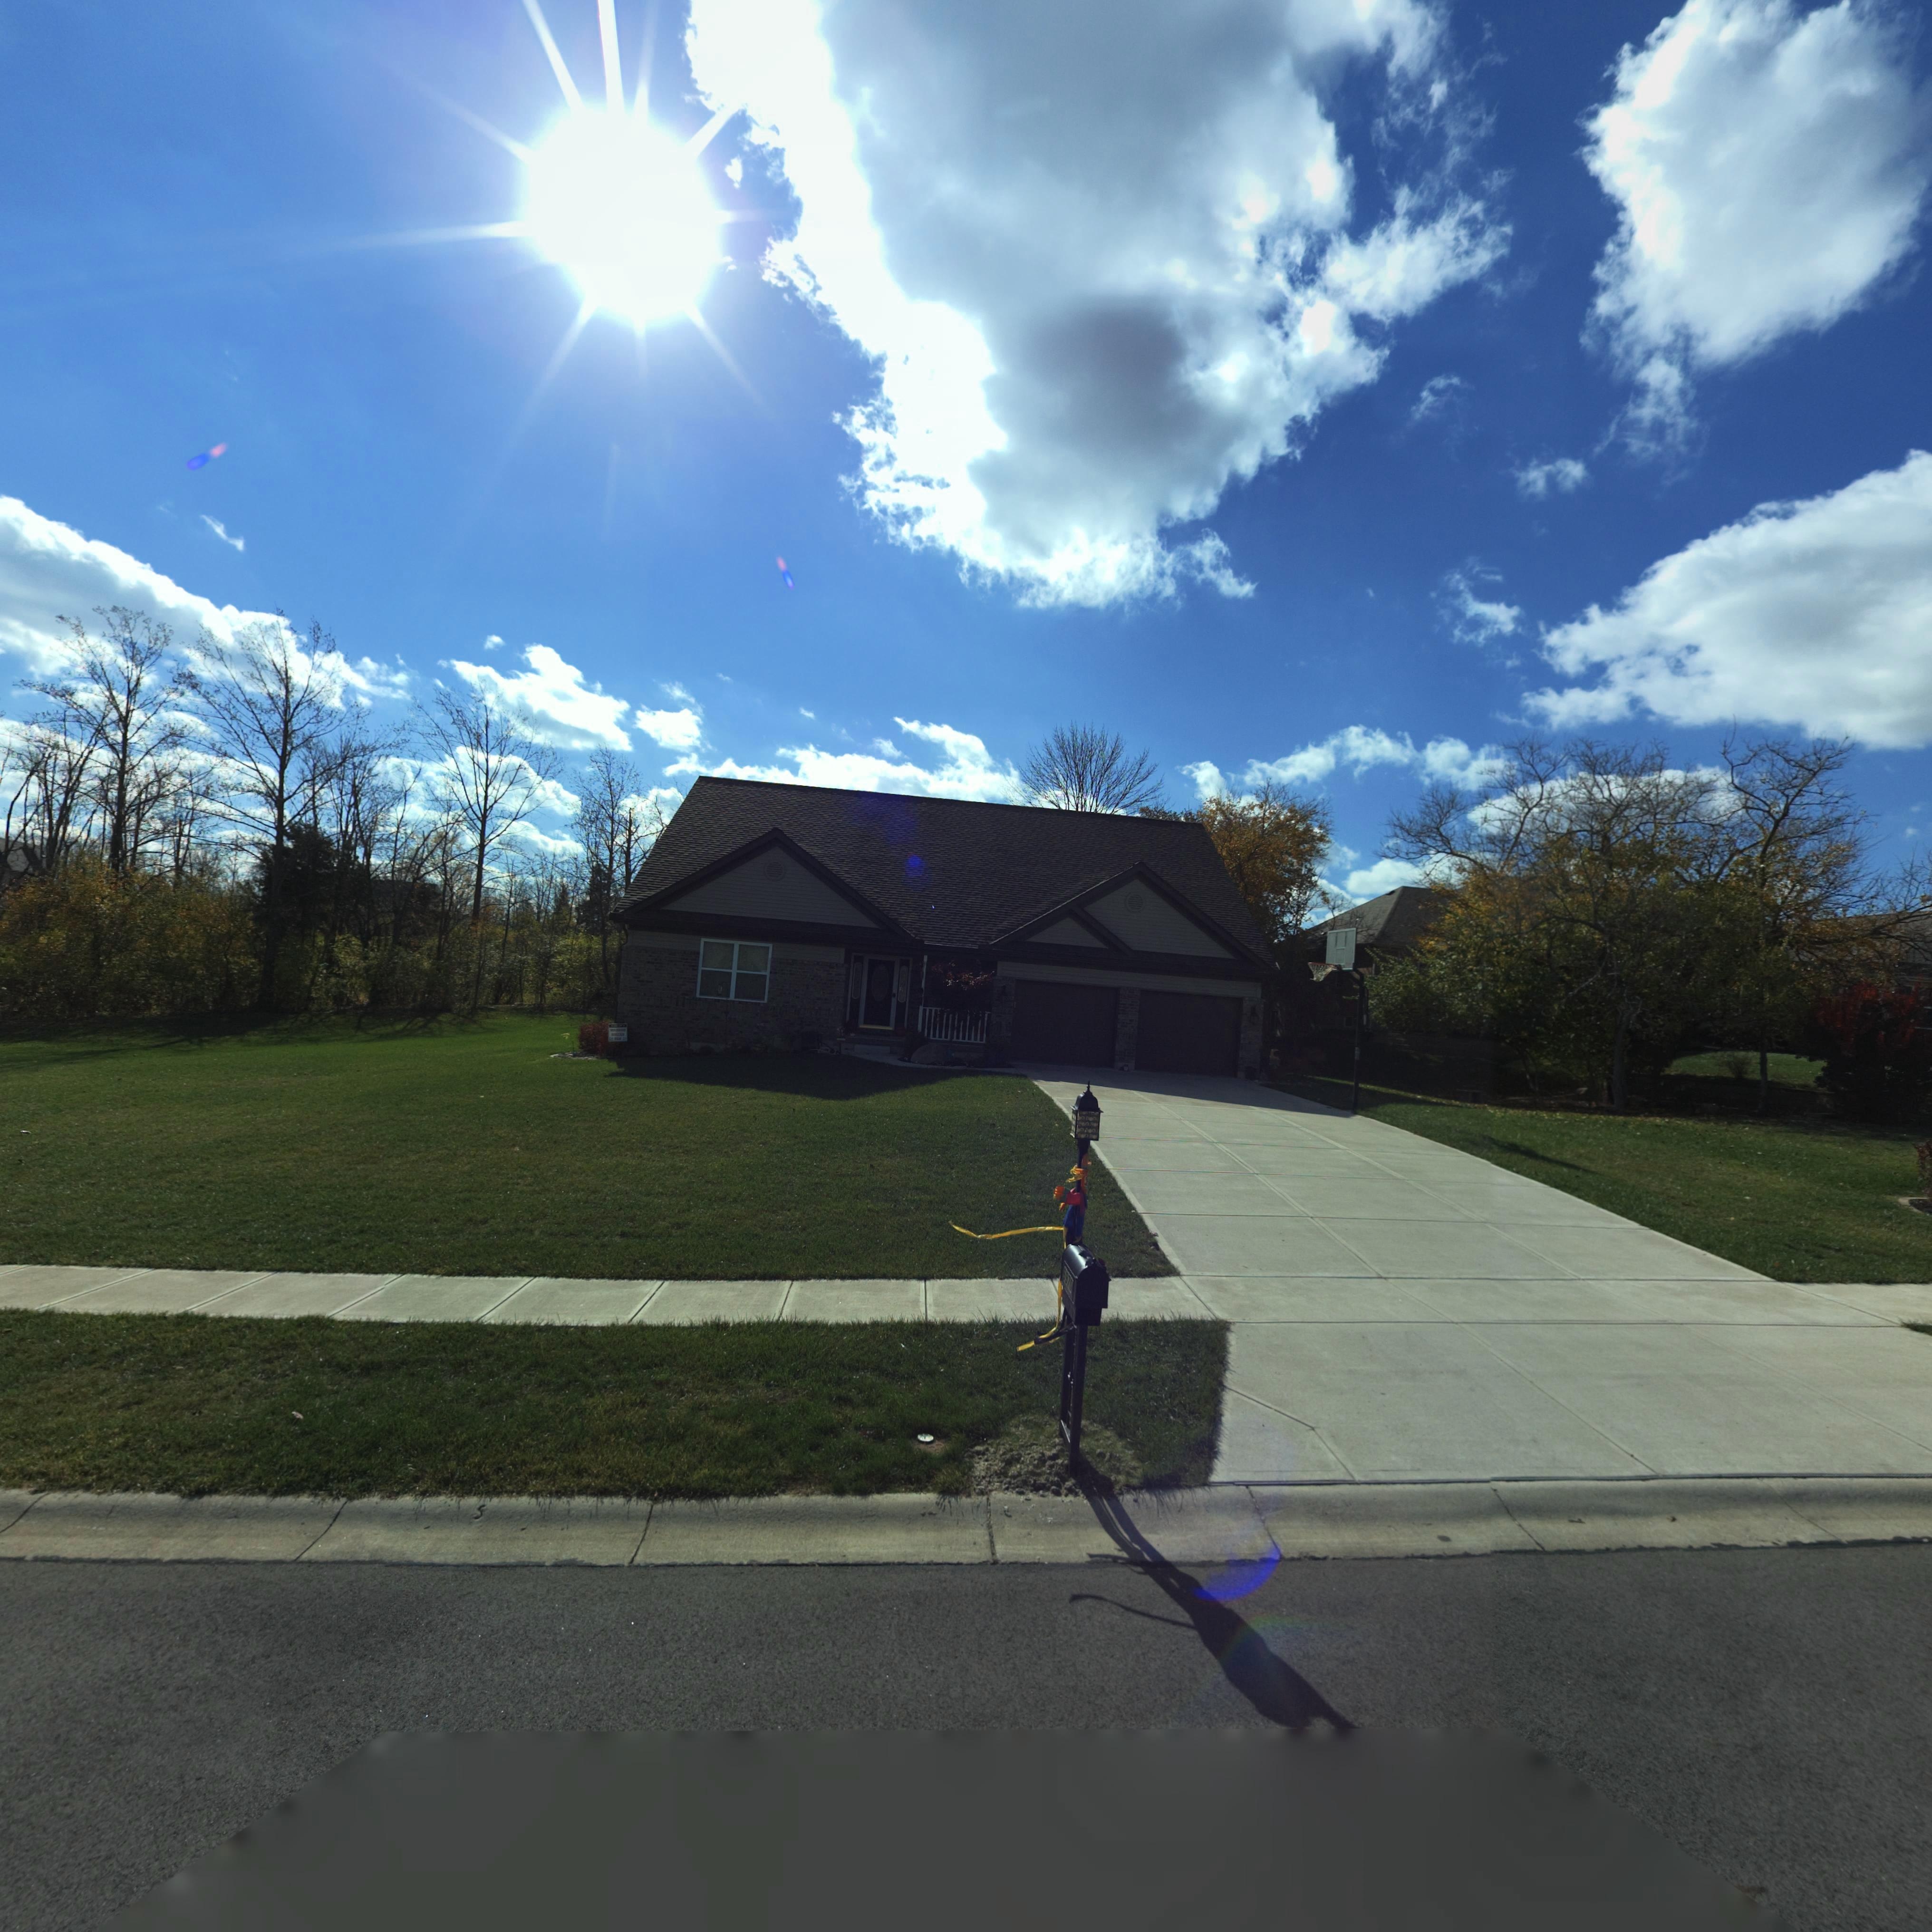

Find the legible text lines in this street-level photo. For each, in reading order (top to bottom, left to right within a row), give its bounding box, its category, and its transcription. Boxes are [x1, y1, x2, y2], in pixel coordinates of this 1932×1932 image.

[1062, 1265, 1074, 1294] StreetNumber: 6970